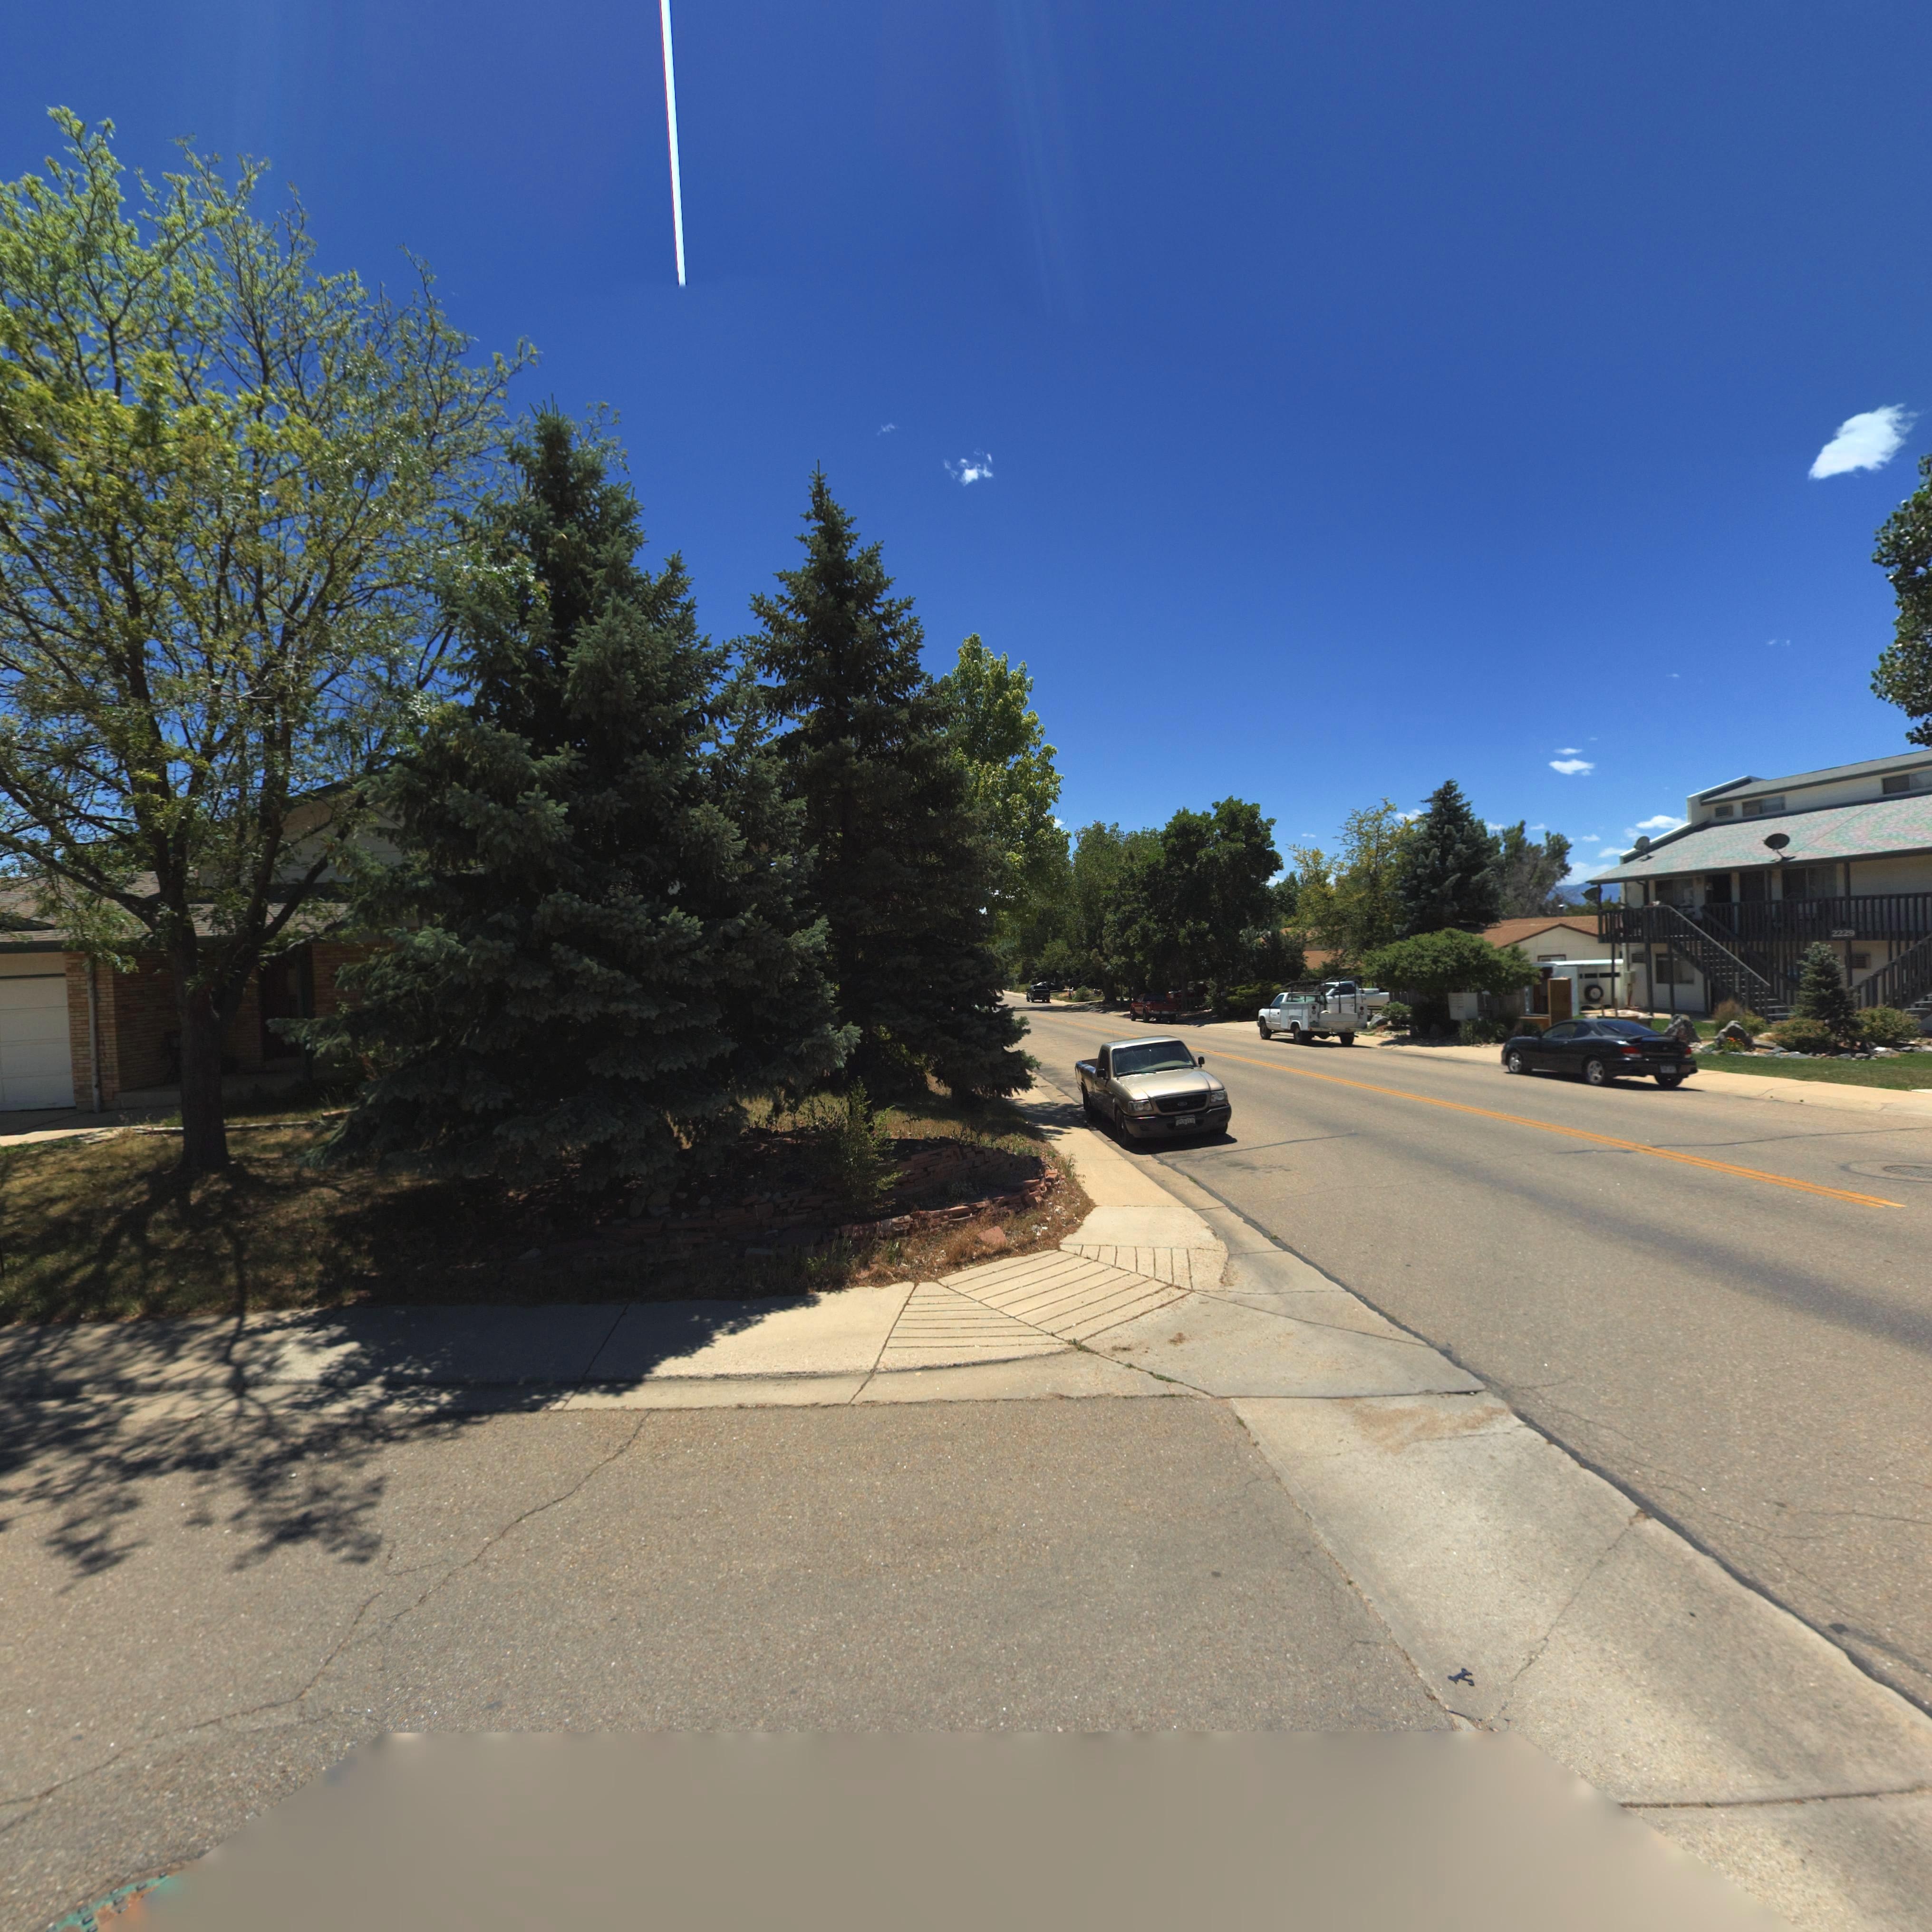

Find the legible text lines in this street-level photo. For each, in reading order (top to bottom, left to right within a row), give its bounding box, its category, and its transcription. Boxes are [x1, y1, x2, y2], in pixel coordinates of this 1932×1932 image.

[1831, 929, 1855, 937] StreetNumber: 2229